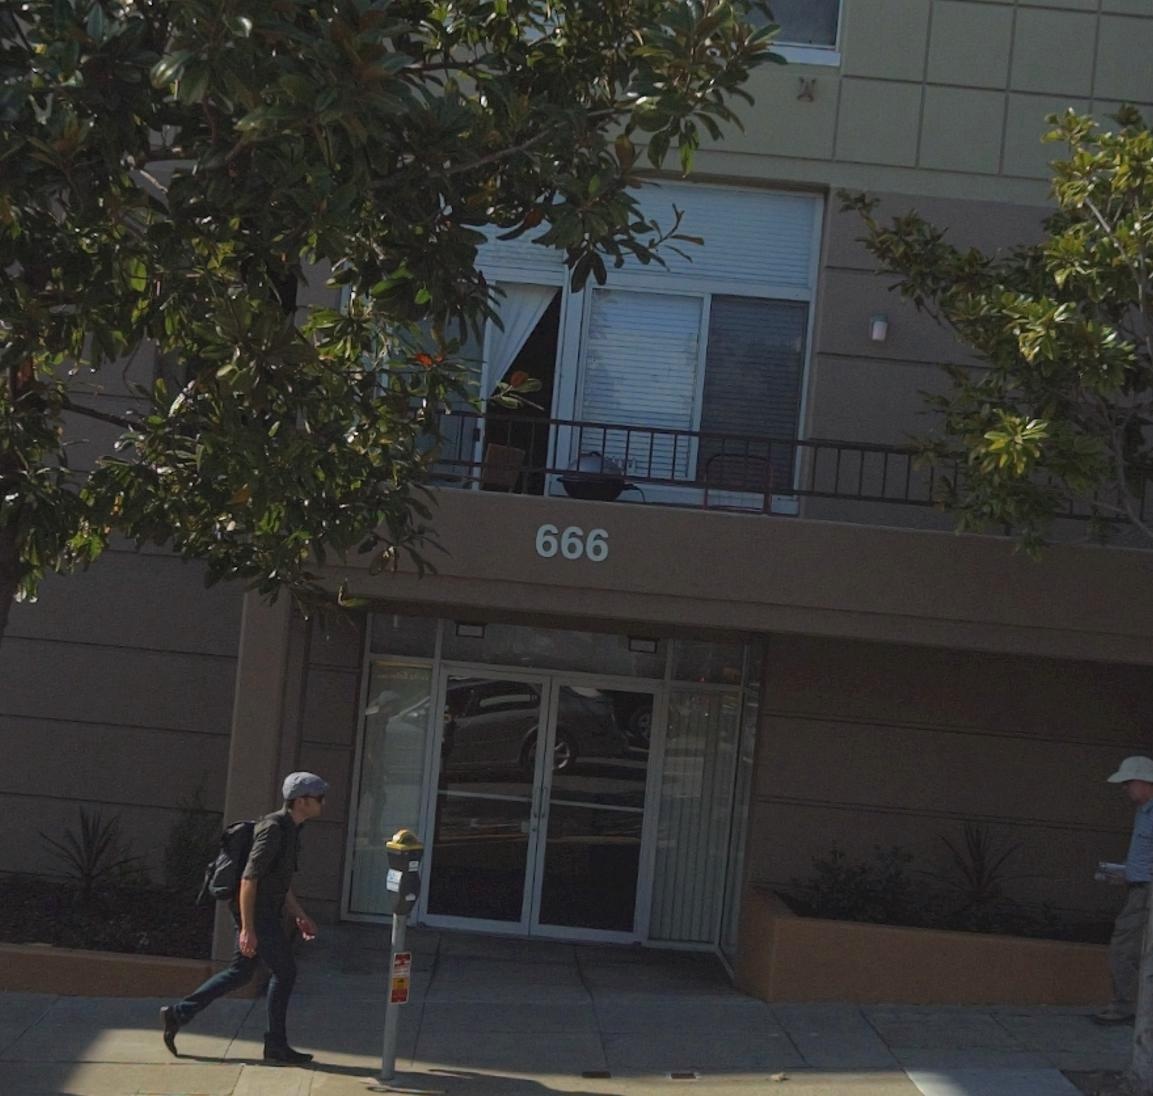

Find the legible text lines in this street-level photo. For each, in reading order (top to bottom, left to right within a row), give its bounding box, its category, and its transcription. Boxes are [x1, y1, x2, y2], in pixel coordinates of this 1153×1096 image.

[534, 523, 610, 563] StreetNumber: 666